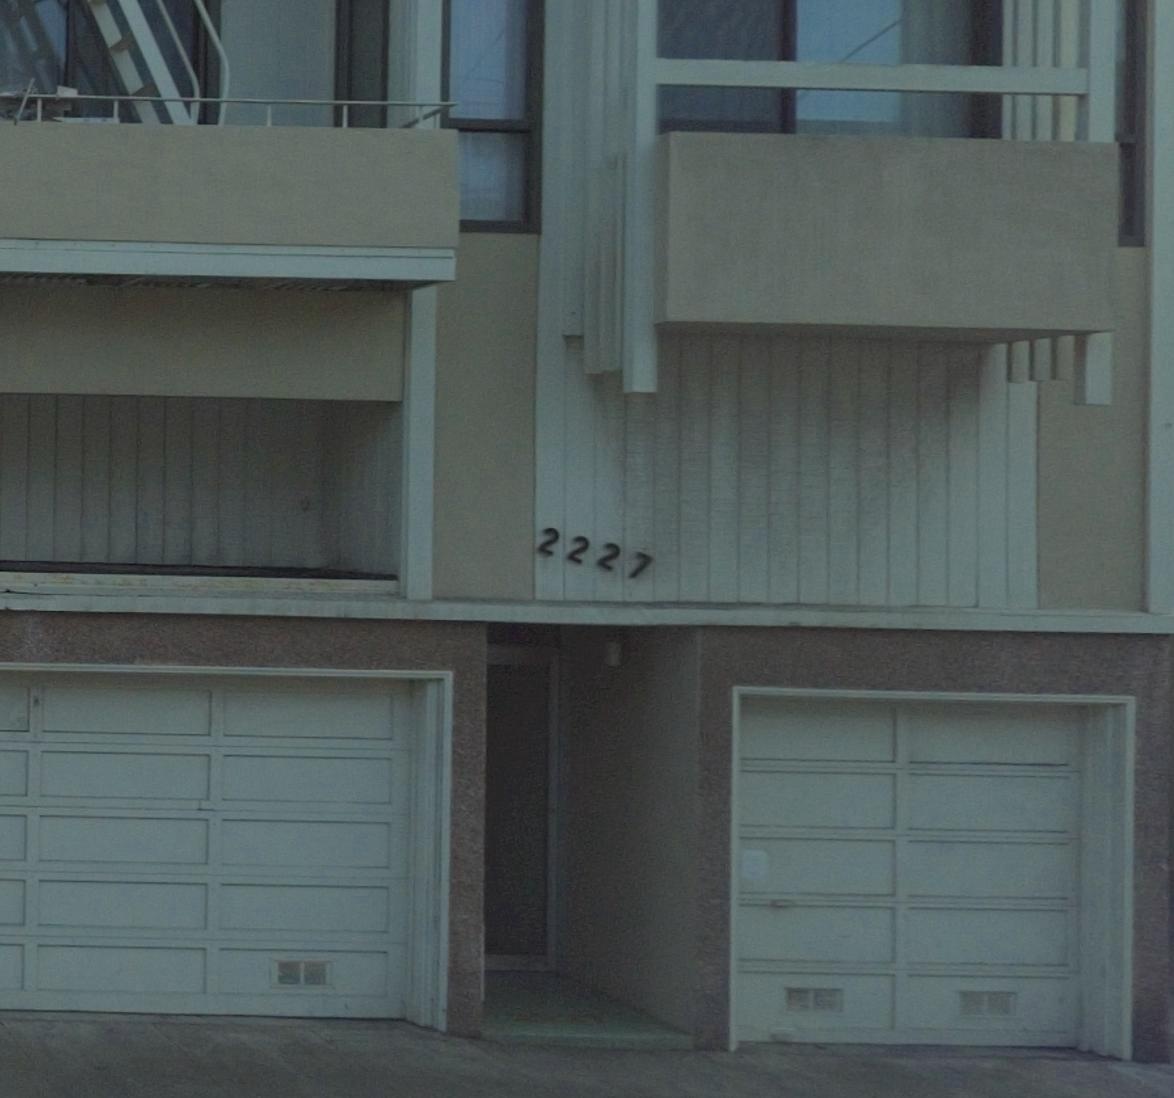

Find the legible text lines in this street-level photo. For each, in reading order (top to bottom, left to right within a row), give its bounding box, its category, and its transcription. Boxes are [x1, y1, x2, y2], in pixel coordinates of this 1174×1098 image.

[530, 519, 661, 588] StreetNumber: 2227